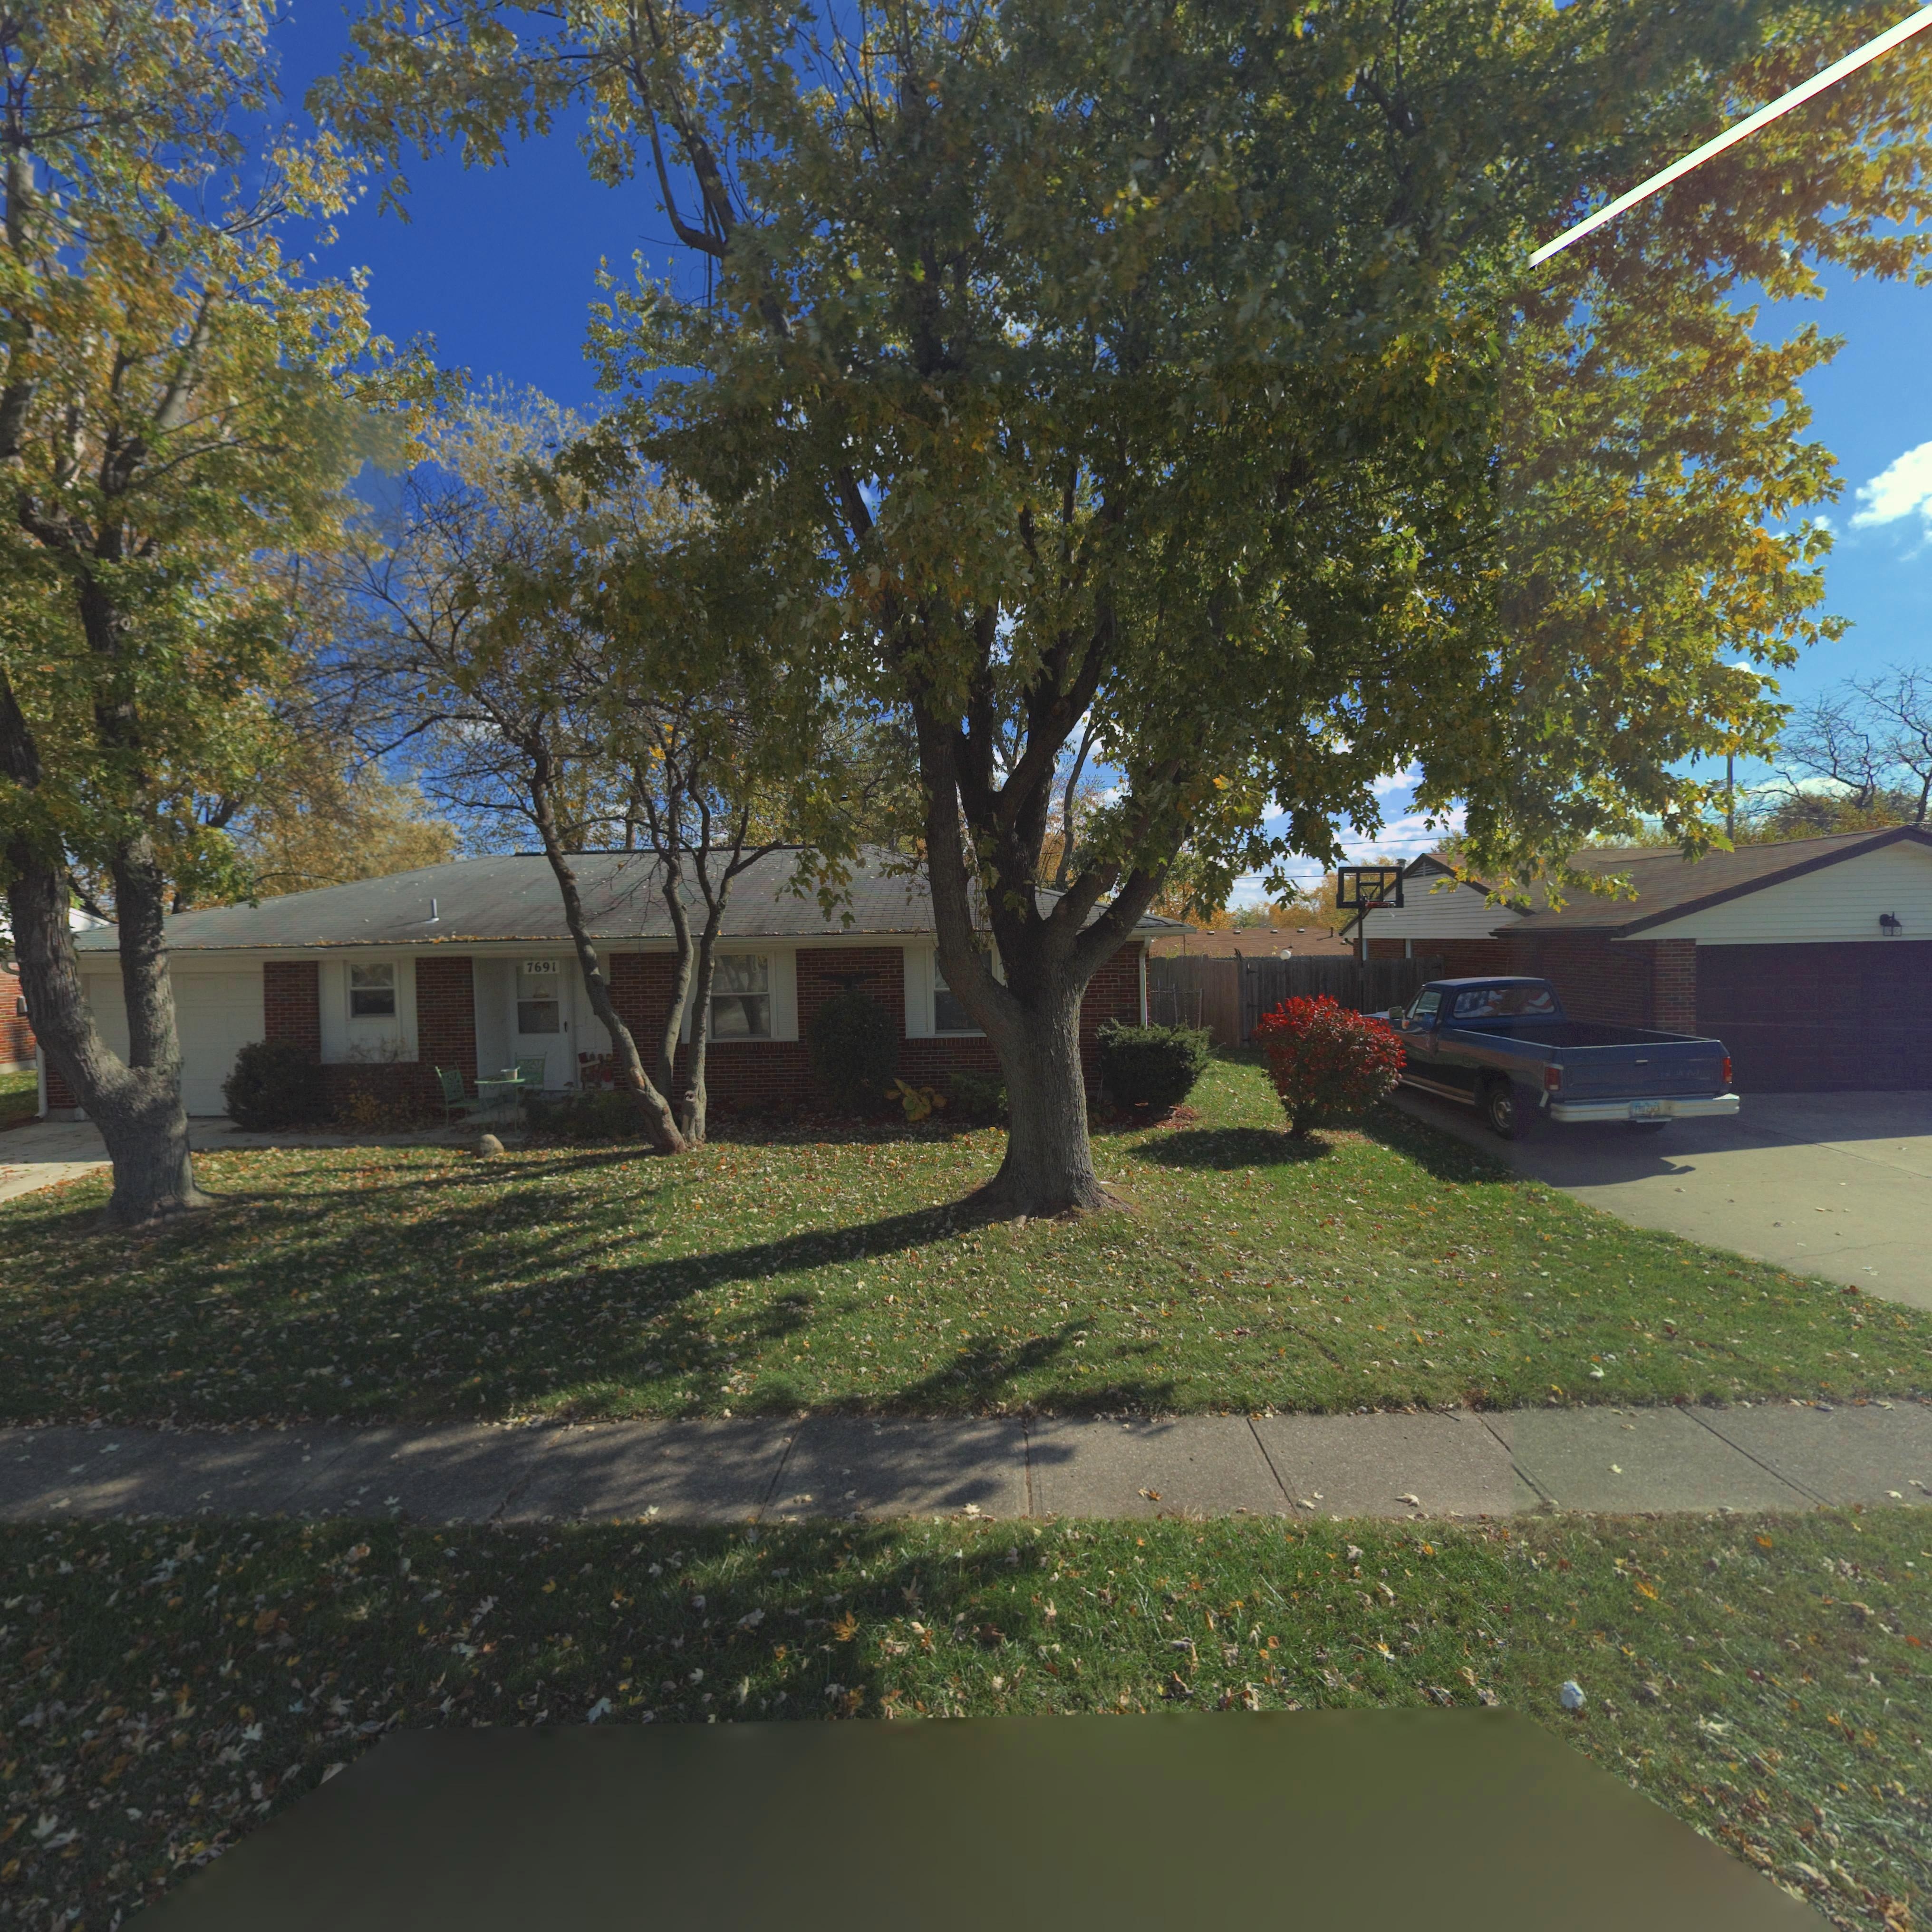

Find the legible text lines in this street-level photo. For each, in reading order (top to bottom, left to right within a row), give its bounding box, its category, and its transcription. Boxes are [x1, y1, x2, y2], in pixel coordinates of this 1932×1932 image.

[525, 961, 557, 975] StreetNumber: 7691